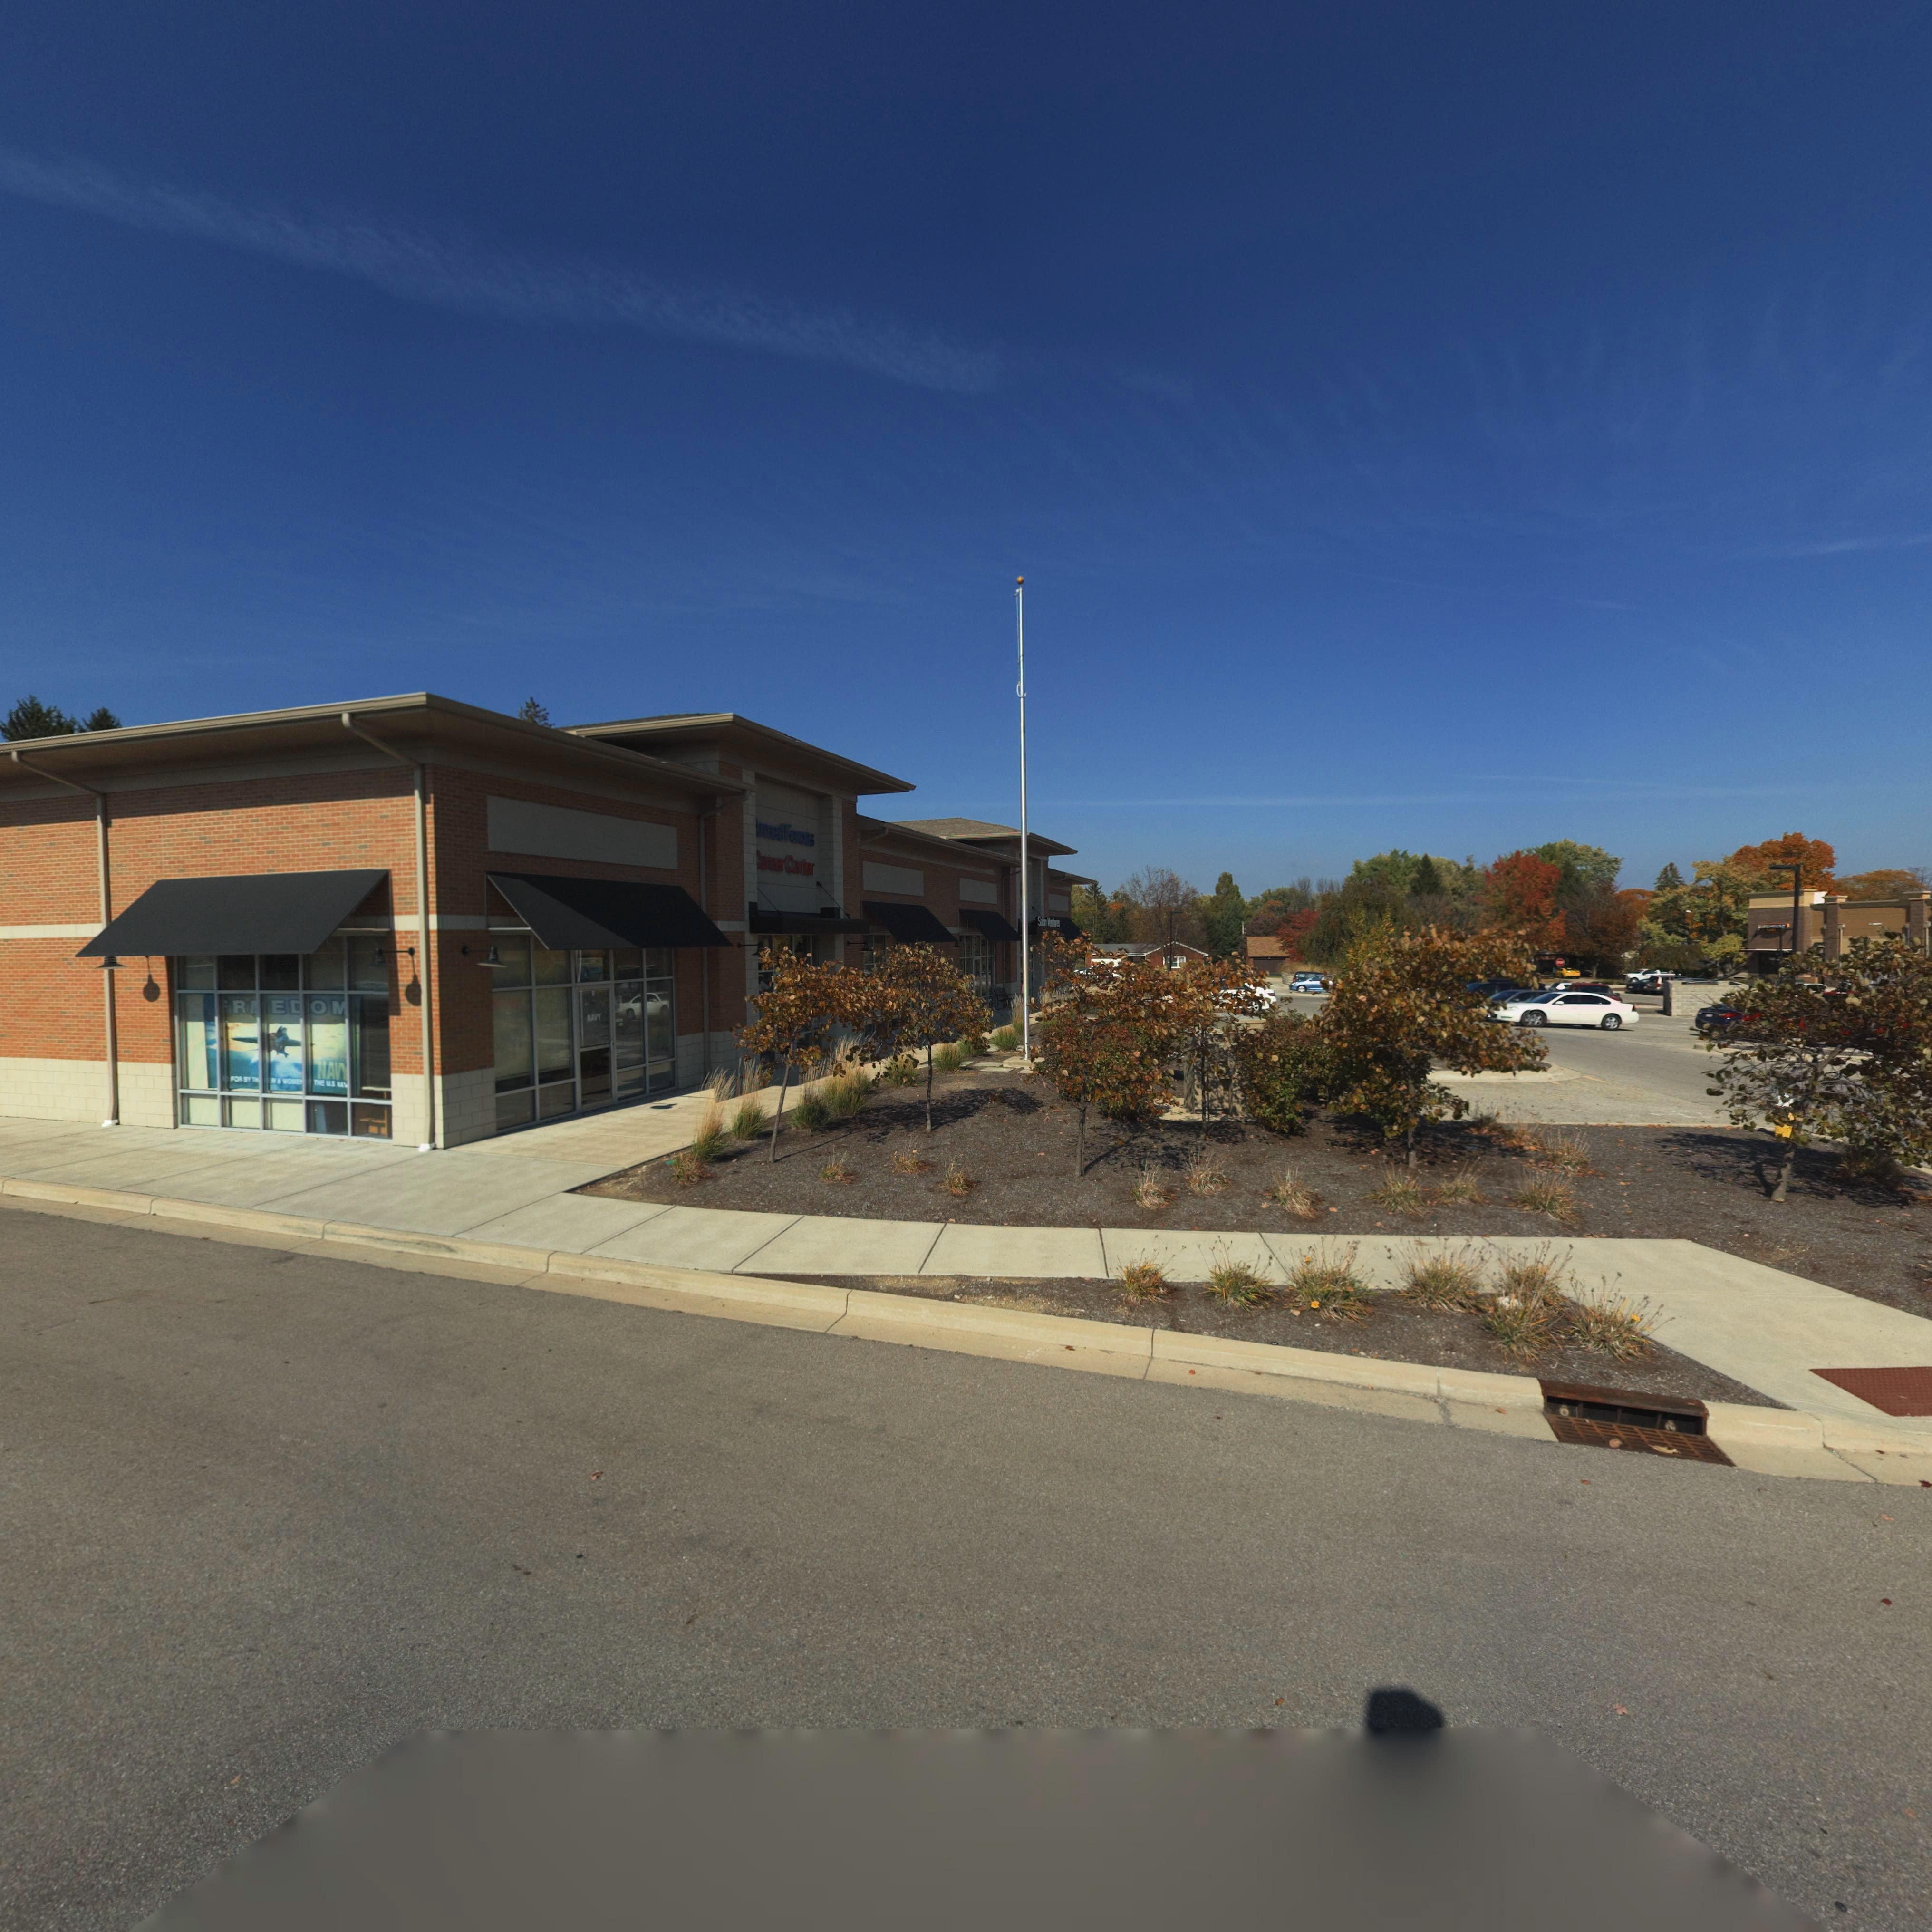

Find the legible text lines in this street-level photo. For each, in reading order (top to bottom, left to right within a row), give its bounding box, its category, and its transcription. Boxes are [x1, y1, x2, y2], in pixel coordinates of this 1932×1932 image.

[773, 822, 817, 848] BusinessName: ed Fo*ces
[759, 853, 816, 876] BusinessName: areer Center